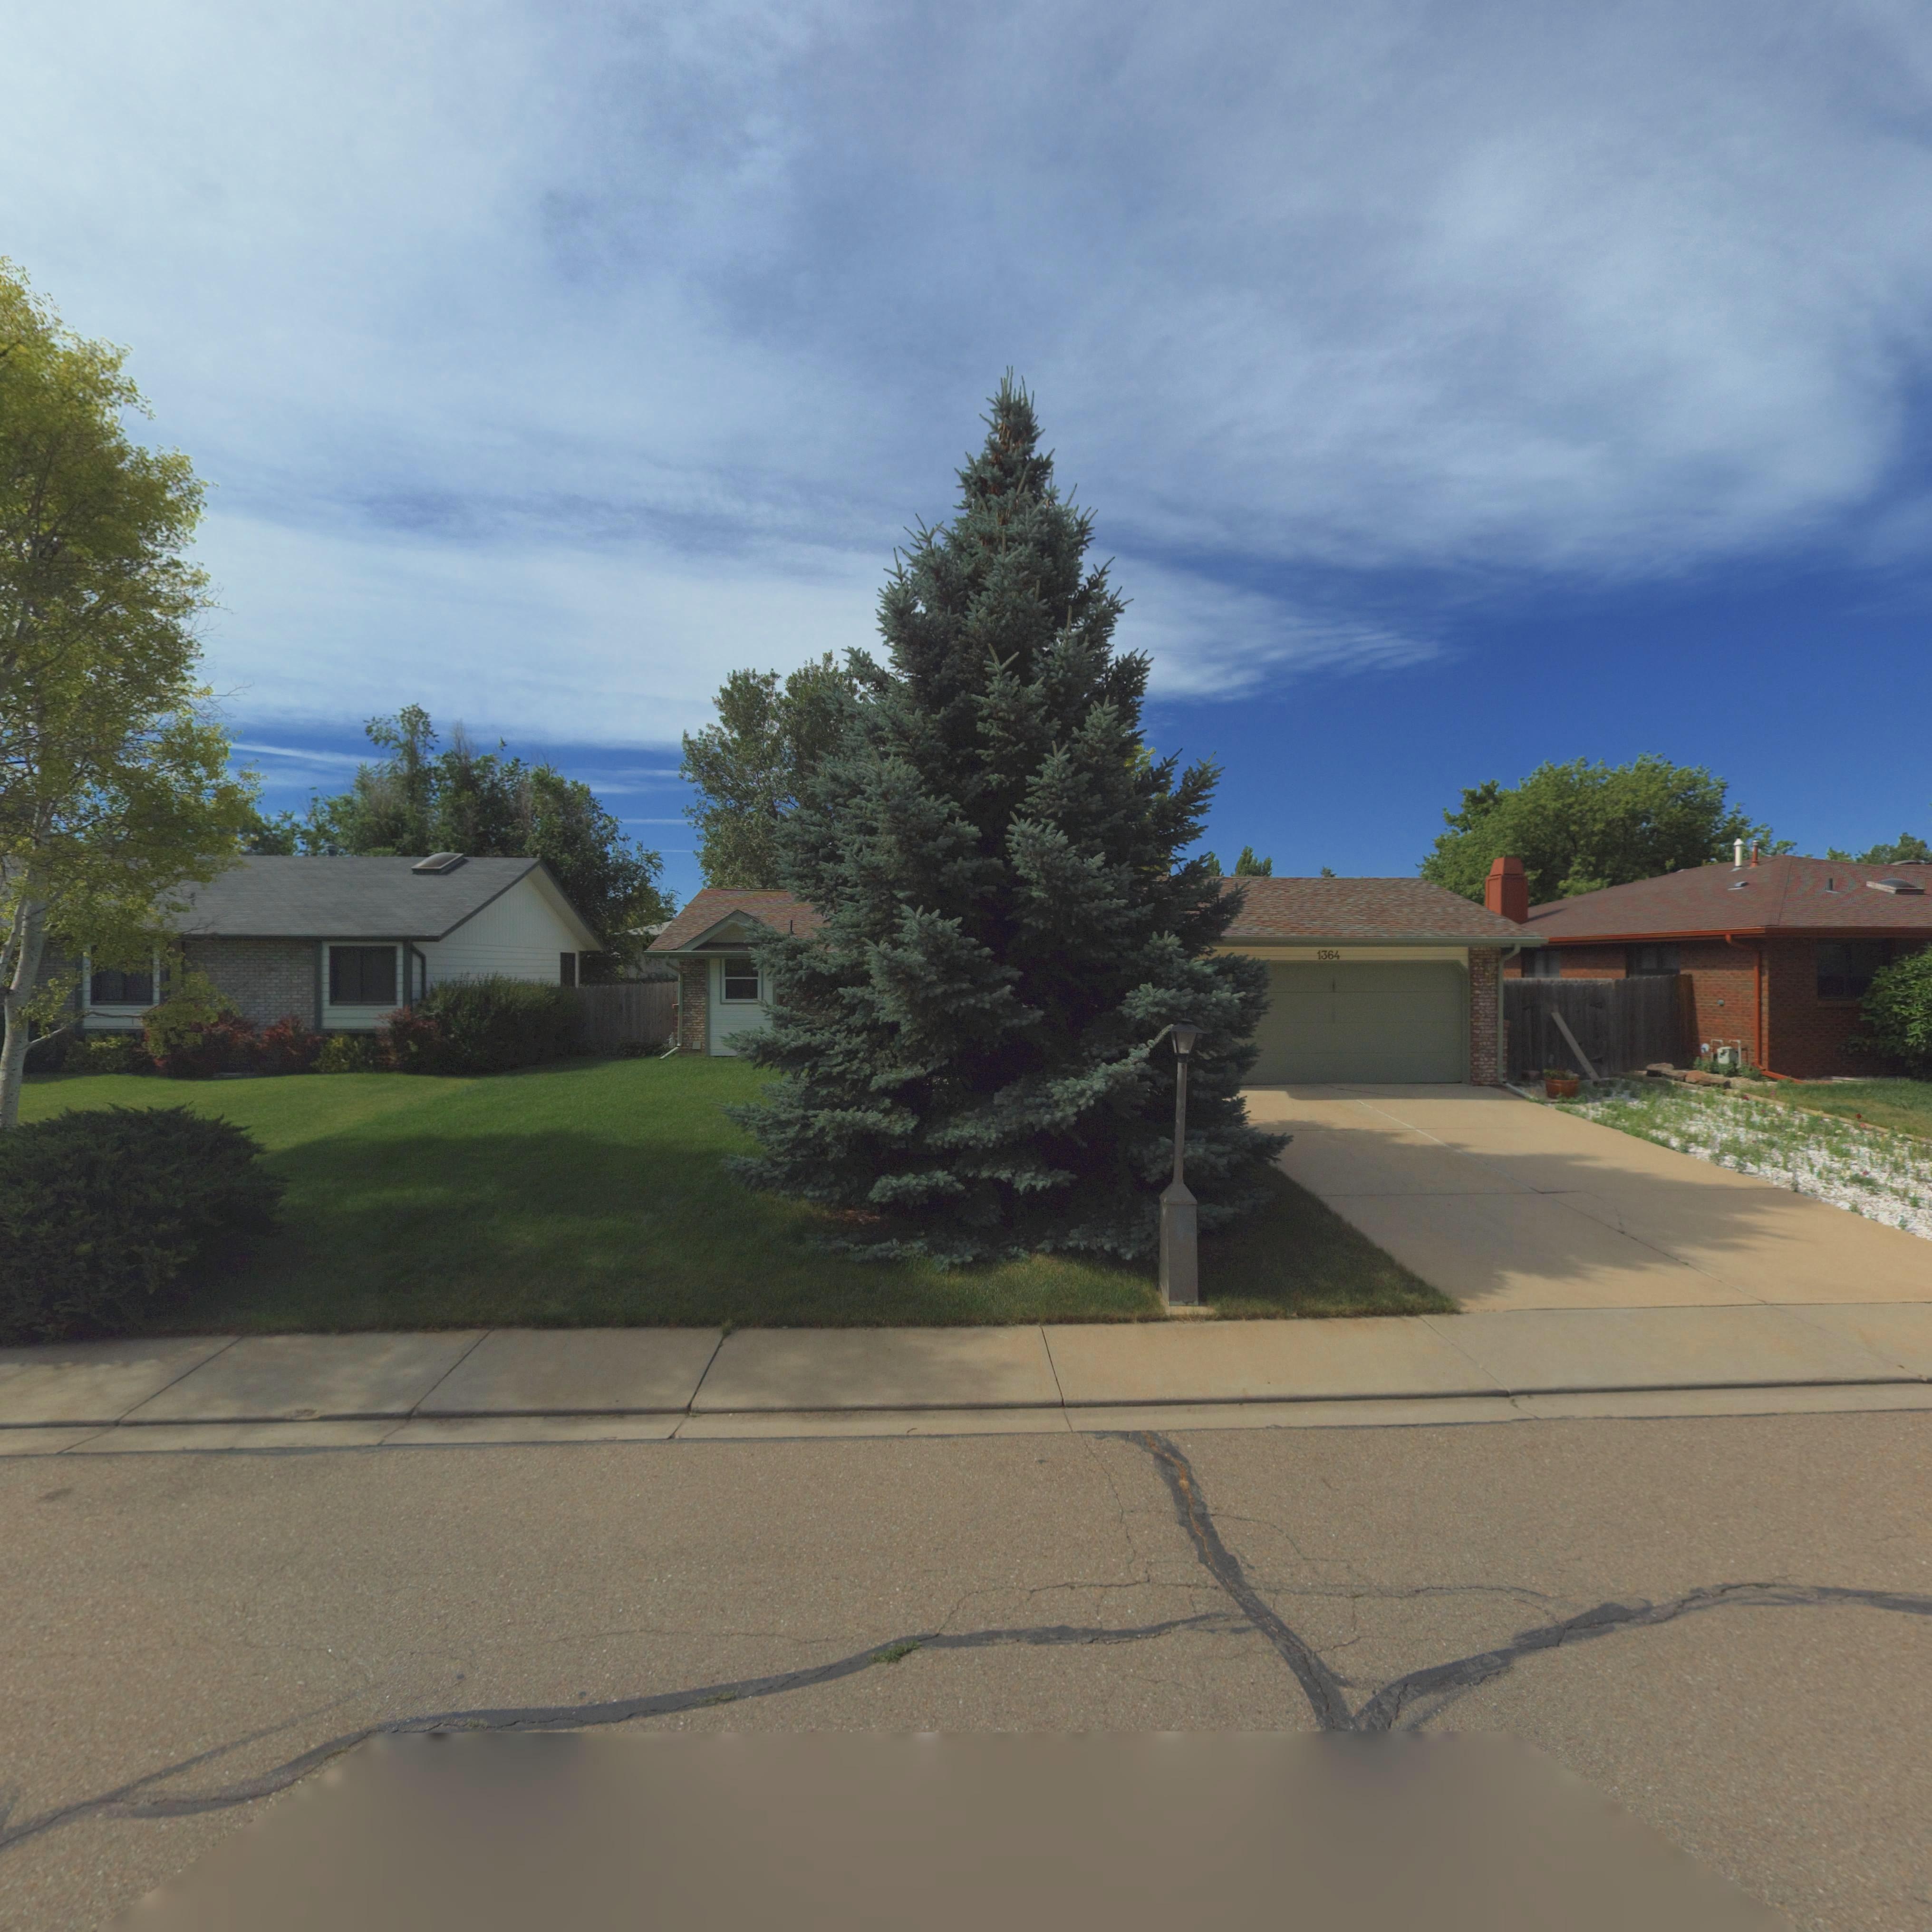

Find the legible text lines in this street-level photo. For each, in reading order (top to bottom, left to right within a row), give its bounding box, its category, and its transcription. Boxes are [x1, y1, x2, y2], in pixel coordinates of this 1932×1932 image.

[1316, 949, 1341, 960] StreetNumber: 1364